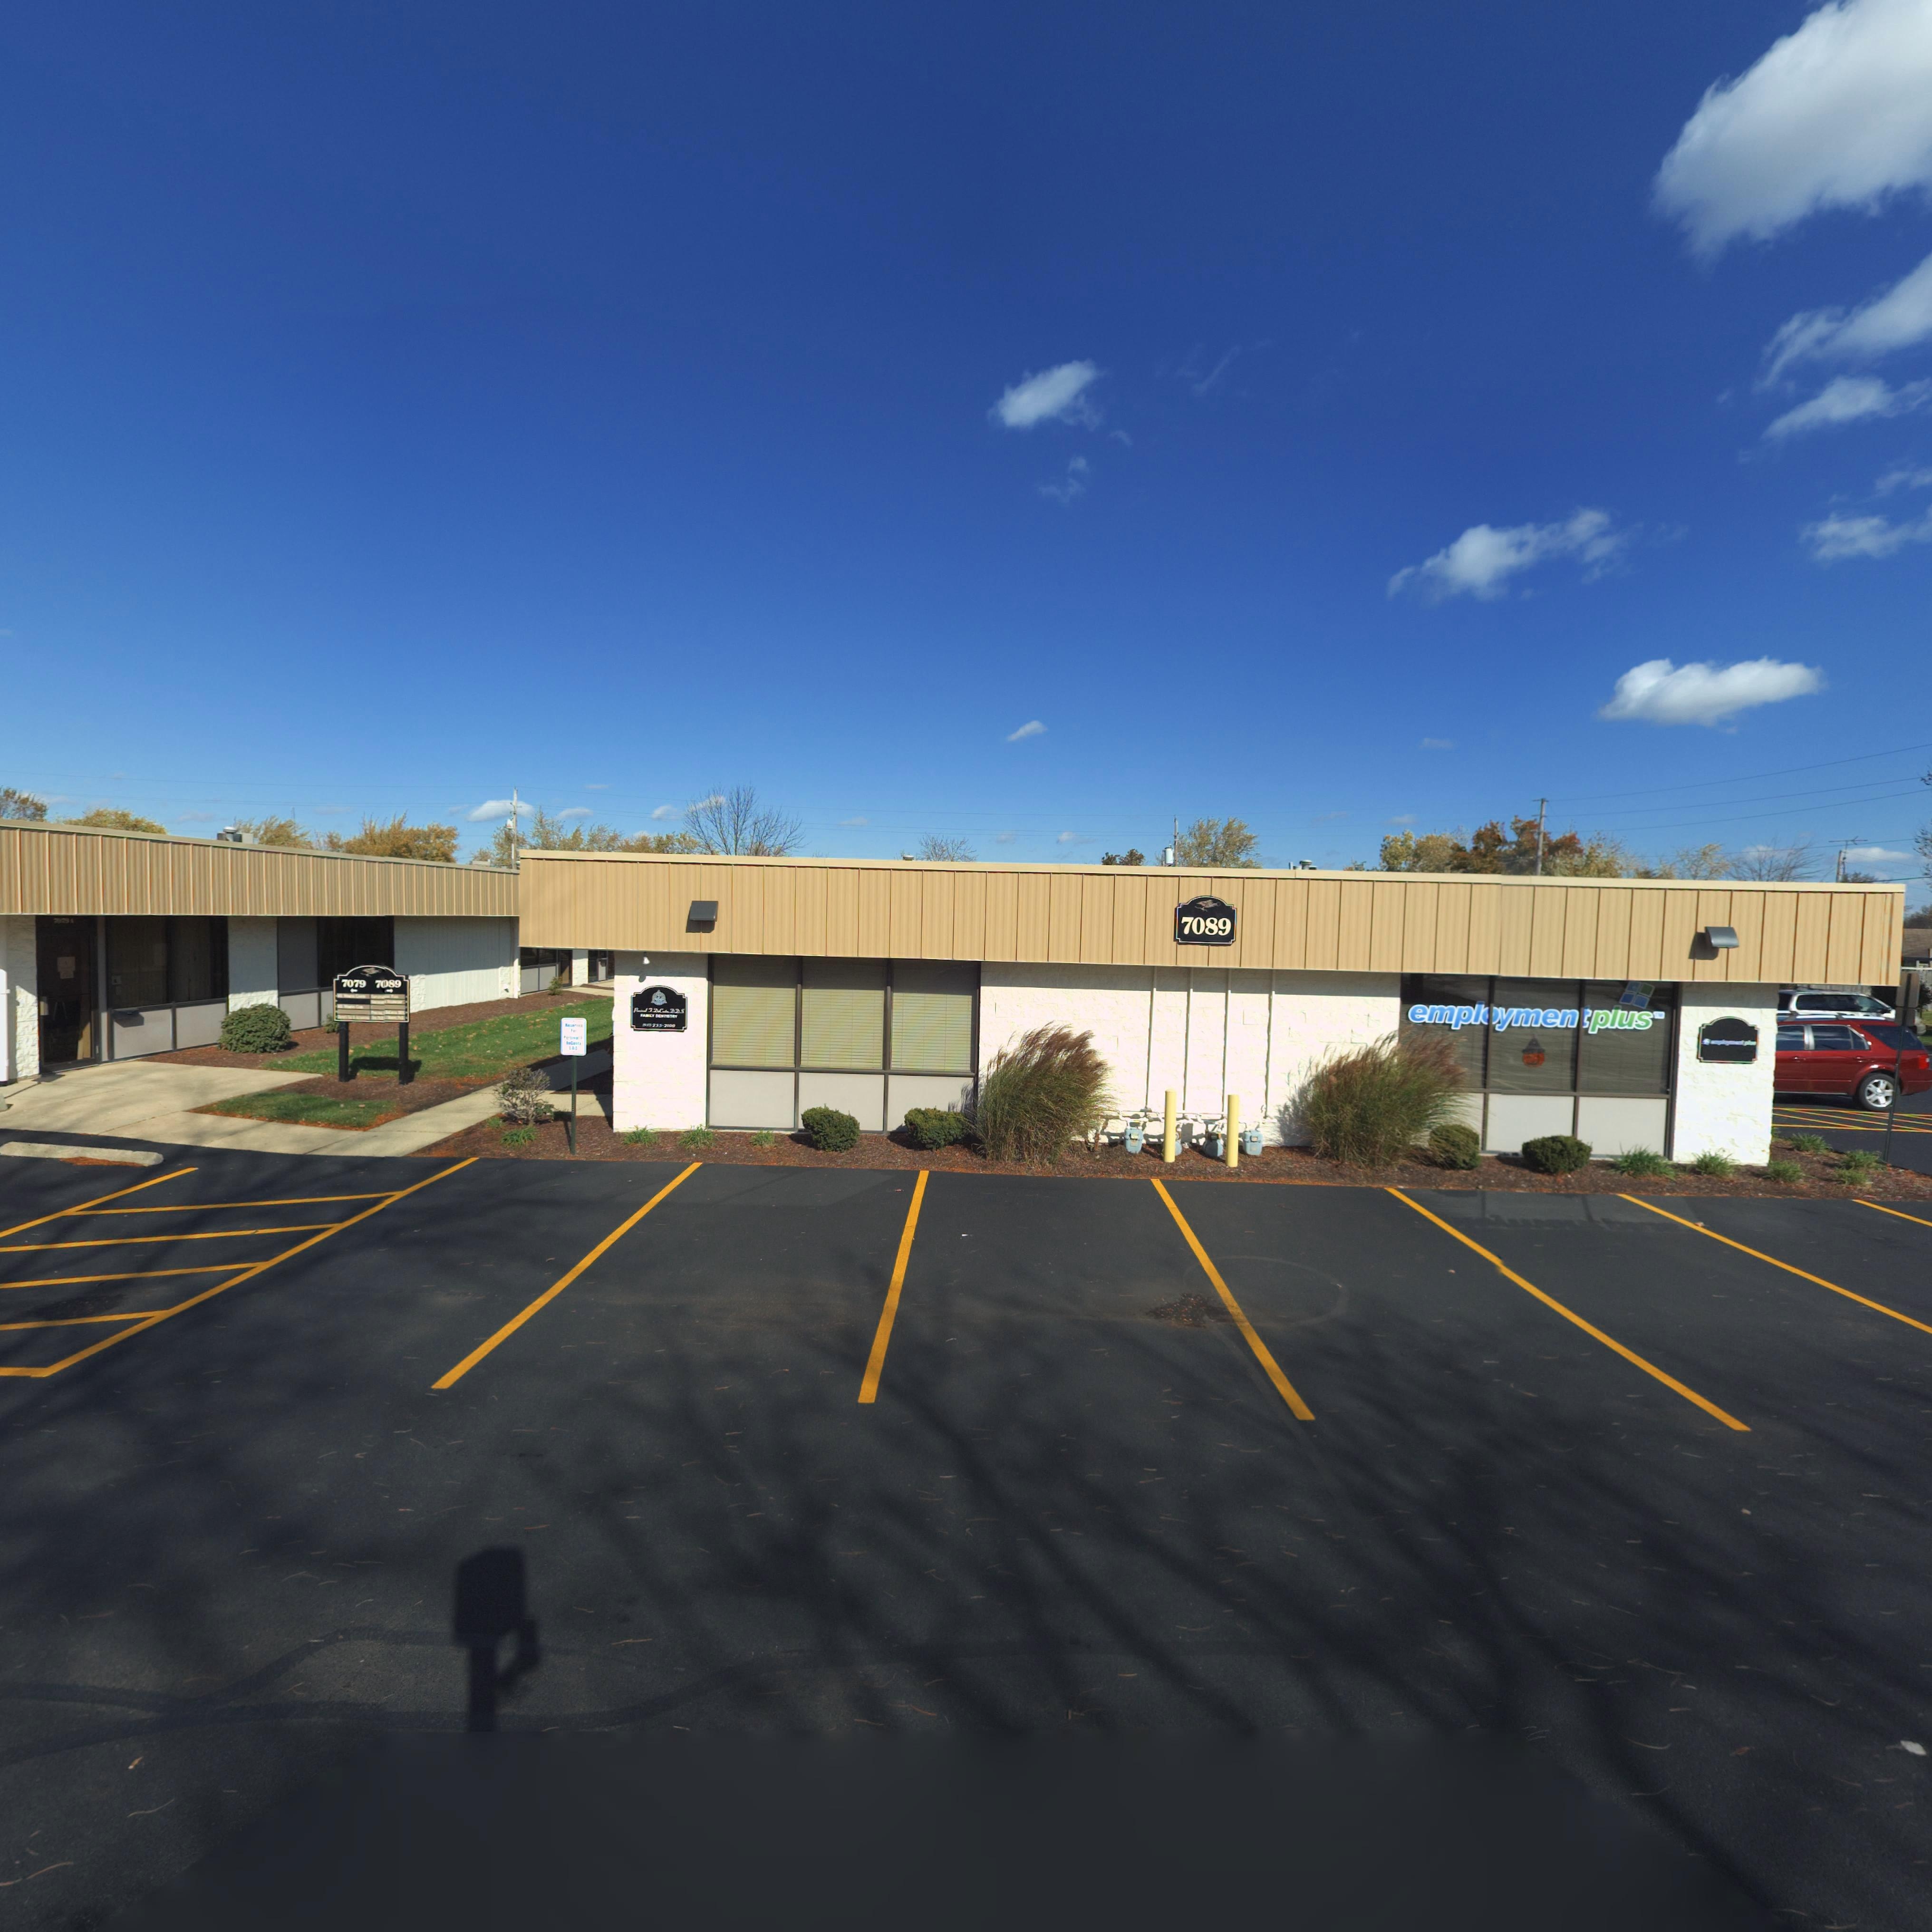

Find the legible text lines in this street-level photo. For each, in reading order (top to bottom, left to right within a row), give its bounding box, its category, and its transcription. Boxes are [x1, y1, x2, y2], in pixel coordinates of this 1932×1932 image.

[1179, 915, 1233, 937] StreetNumber: 7089